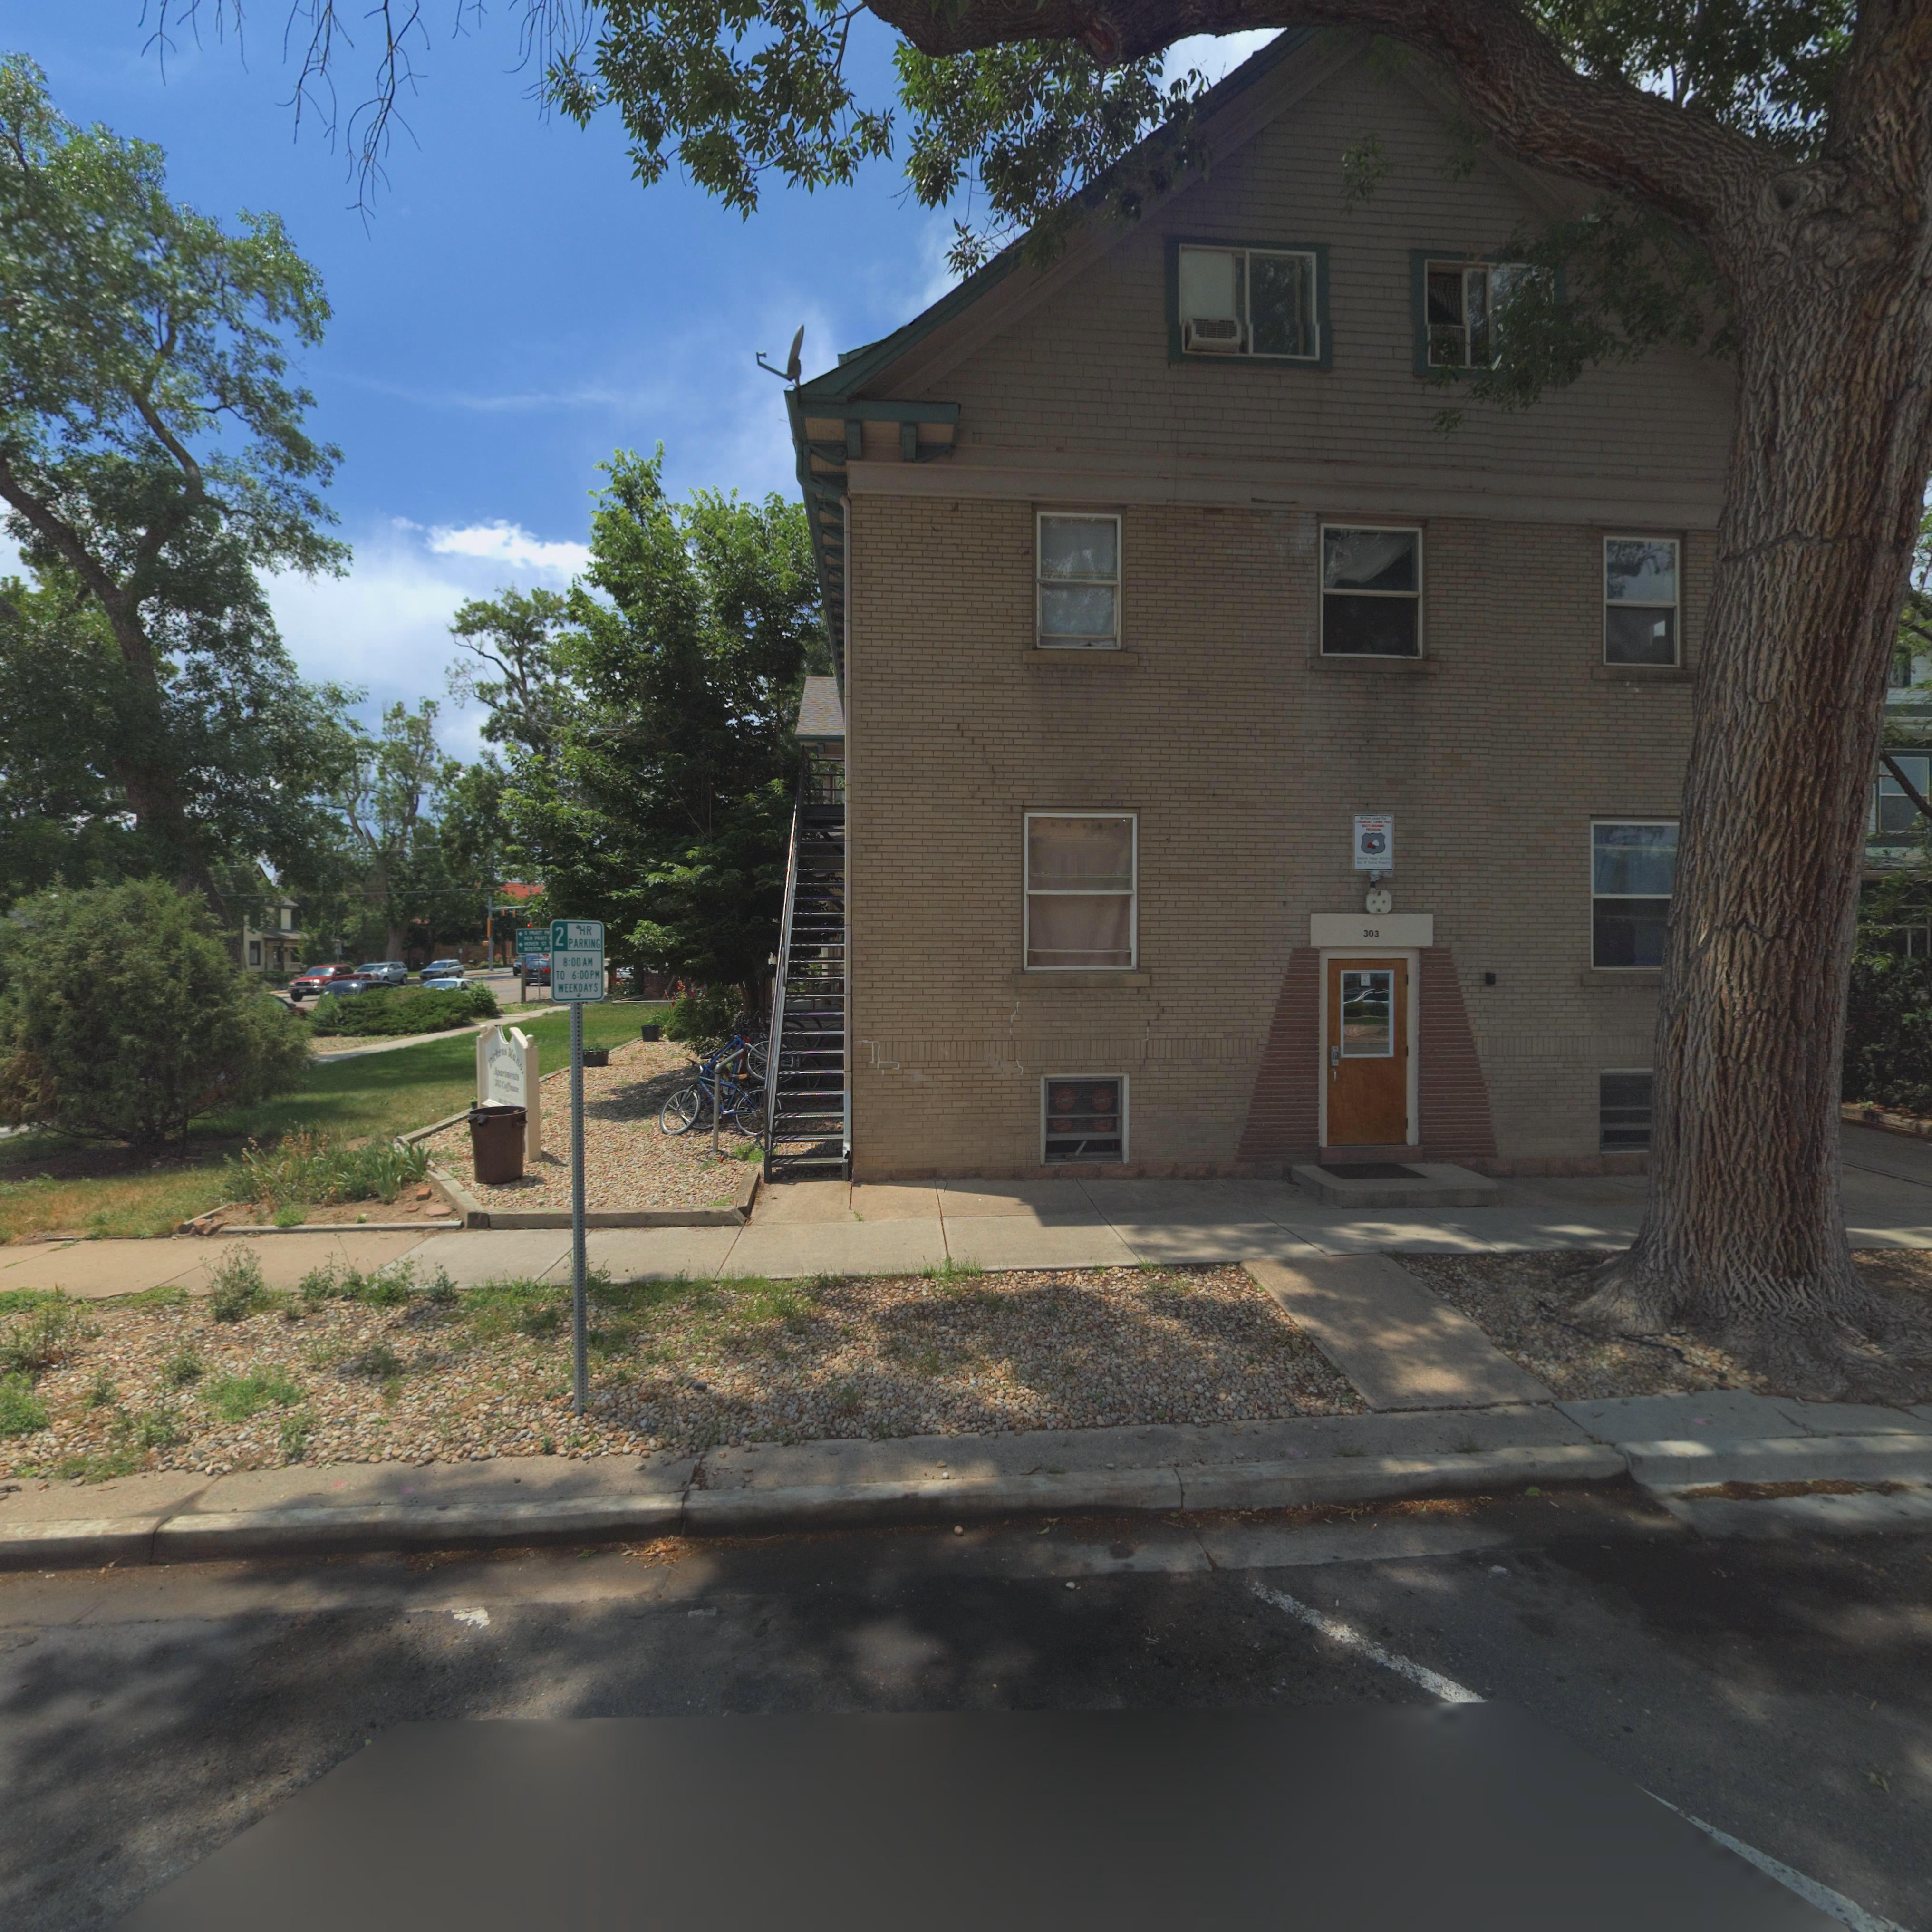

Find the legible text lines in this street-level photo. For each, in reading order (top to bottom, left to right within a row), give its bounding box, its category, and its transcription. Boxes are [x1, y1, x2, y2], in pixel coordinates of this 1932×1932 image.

[1363, 930, 1379, 937] StreetNumber: 303
[487, 1046, 526, 1078] BusinessName: Dickens Mano*
[493, 1066, 520, 1081] BusinessName: Apartments
[494, 1077, 502, 1089] None: **3
[501, 1080, 519, 1094] StreetName: Coff***